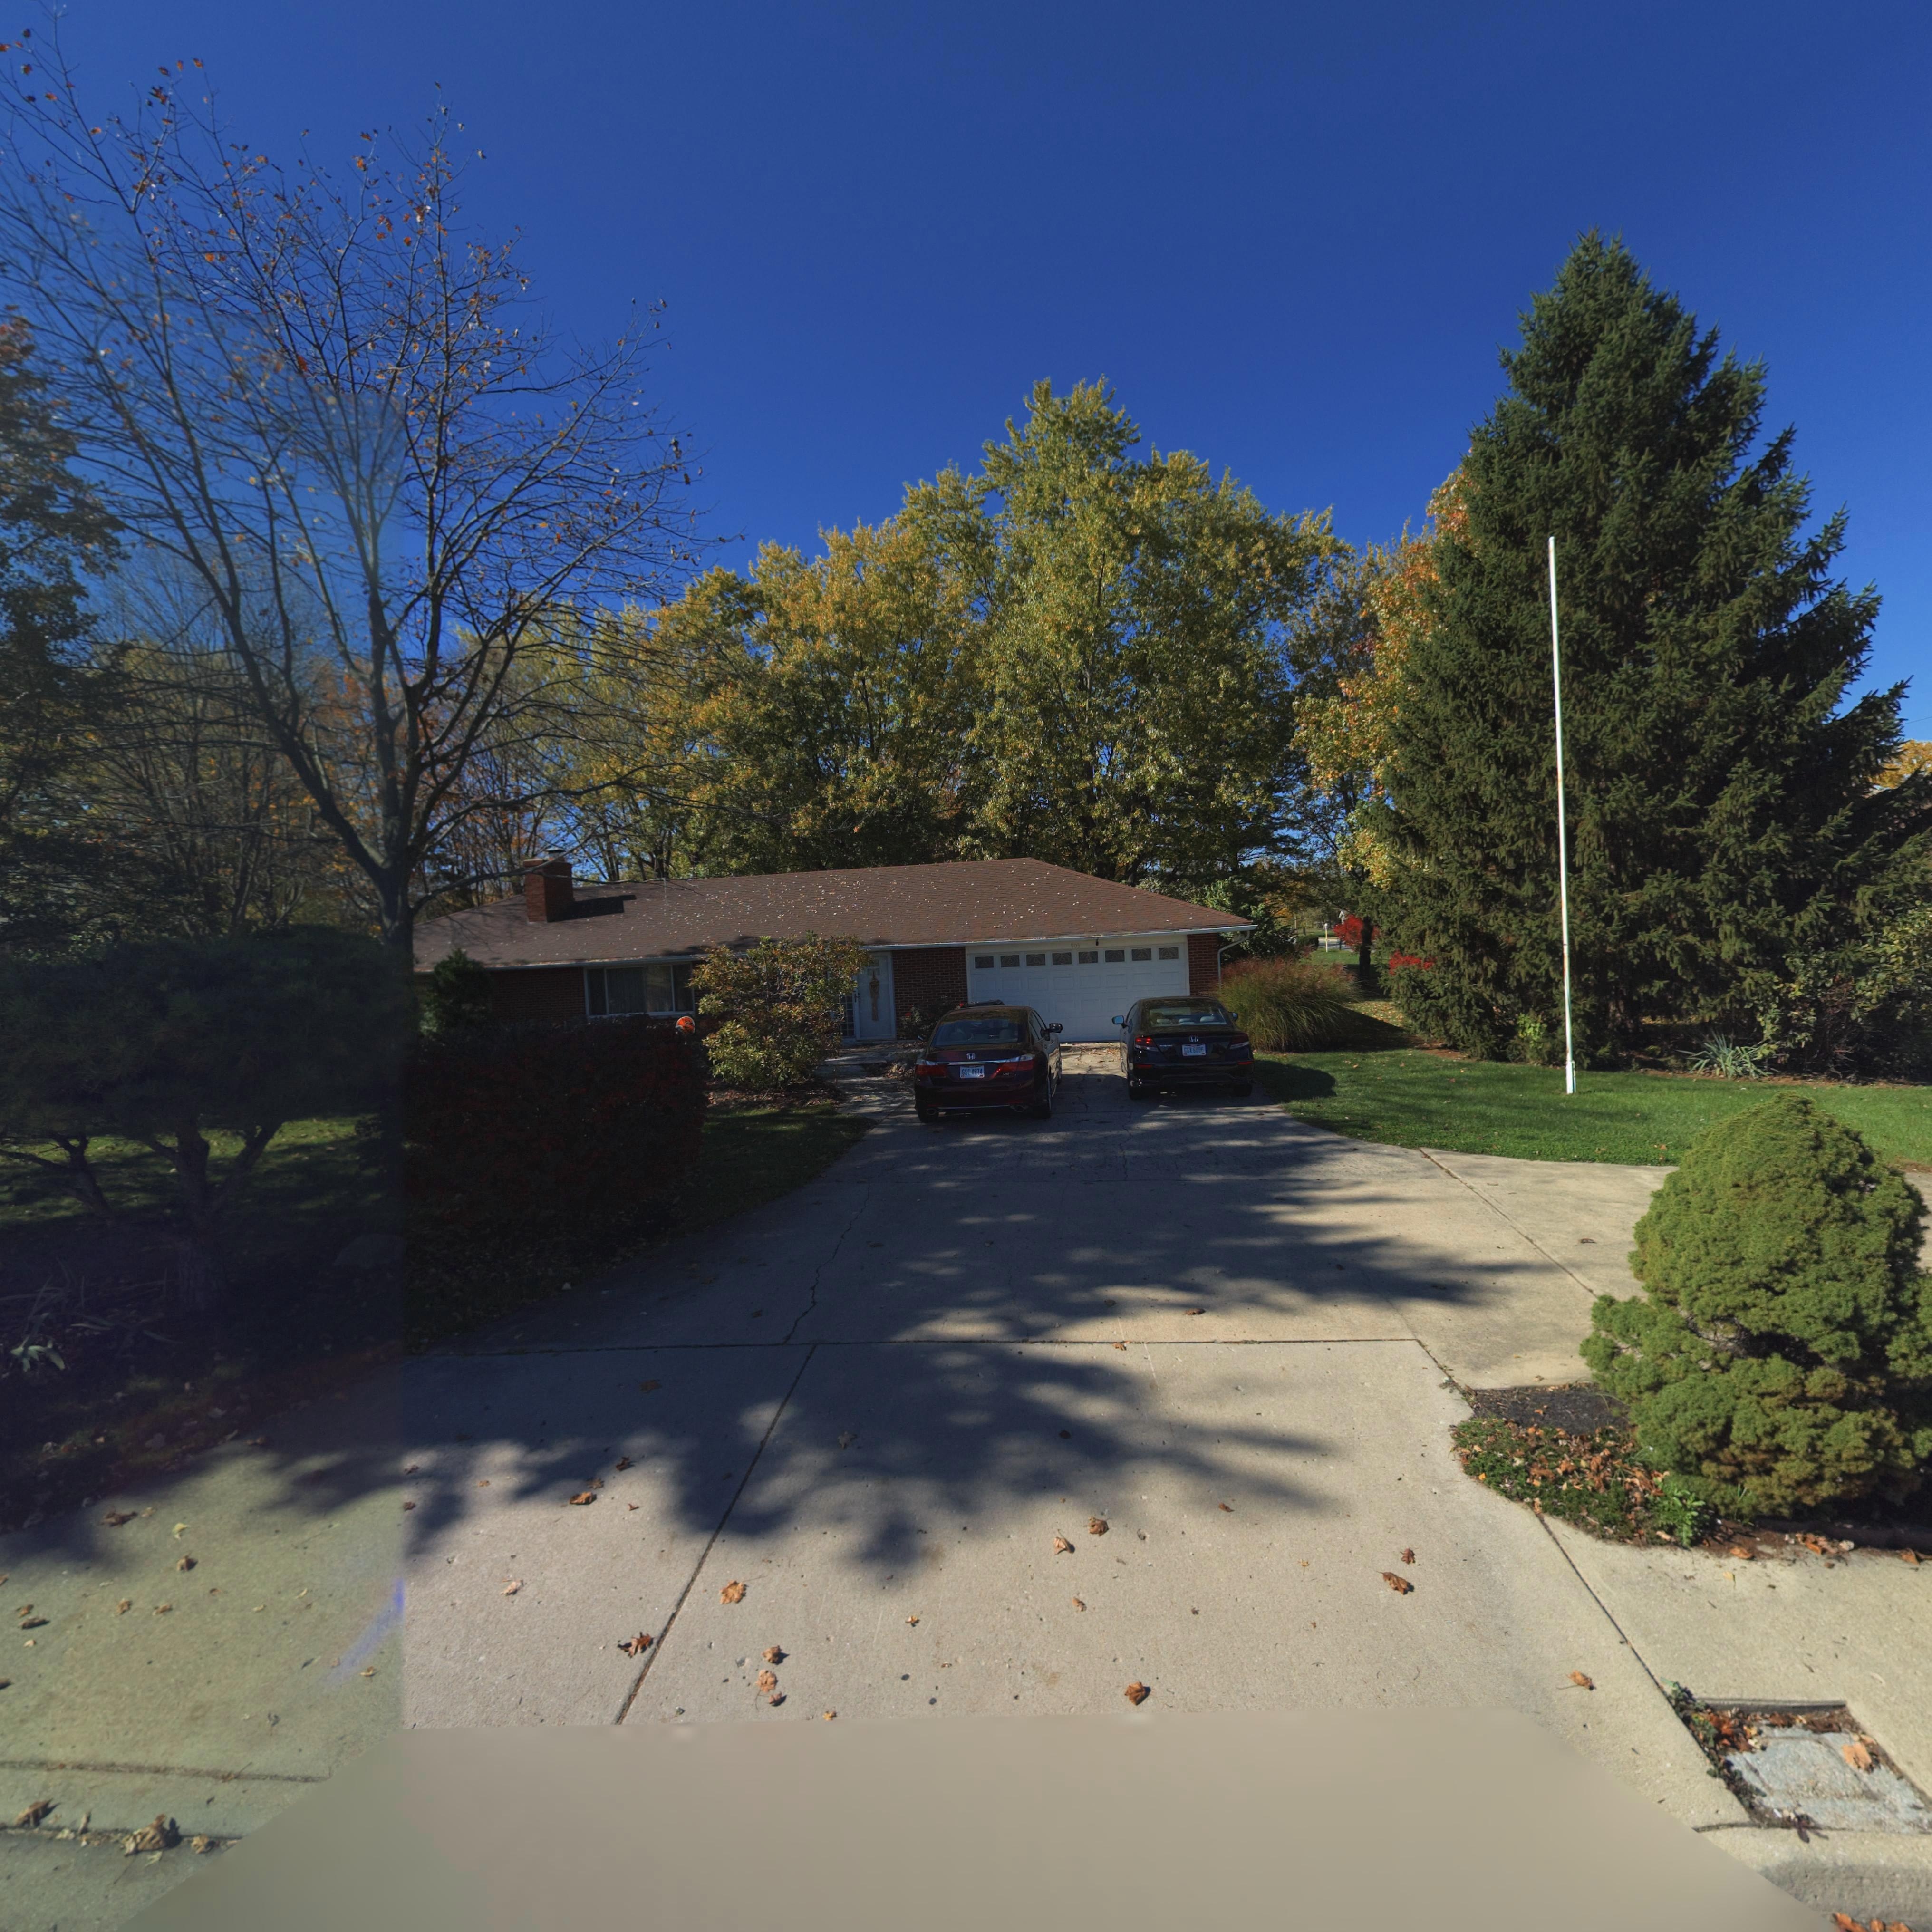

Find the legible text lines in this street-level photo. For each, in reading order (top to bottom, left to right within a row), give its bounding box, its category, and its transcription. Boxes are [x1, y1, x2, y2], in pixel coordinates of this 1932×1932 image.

[1069, 942, 1081, 950] StreetNumber: 903